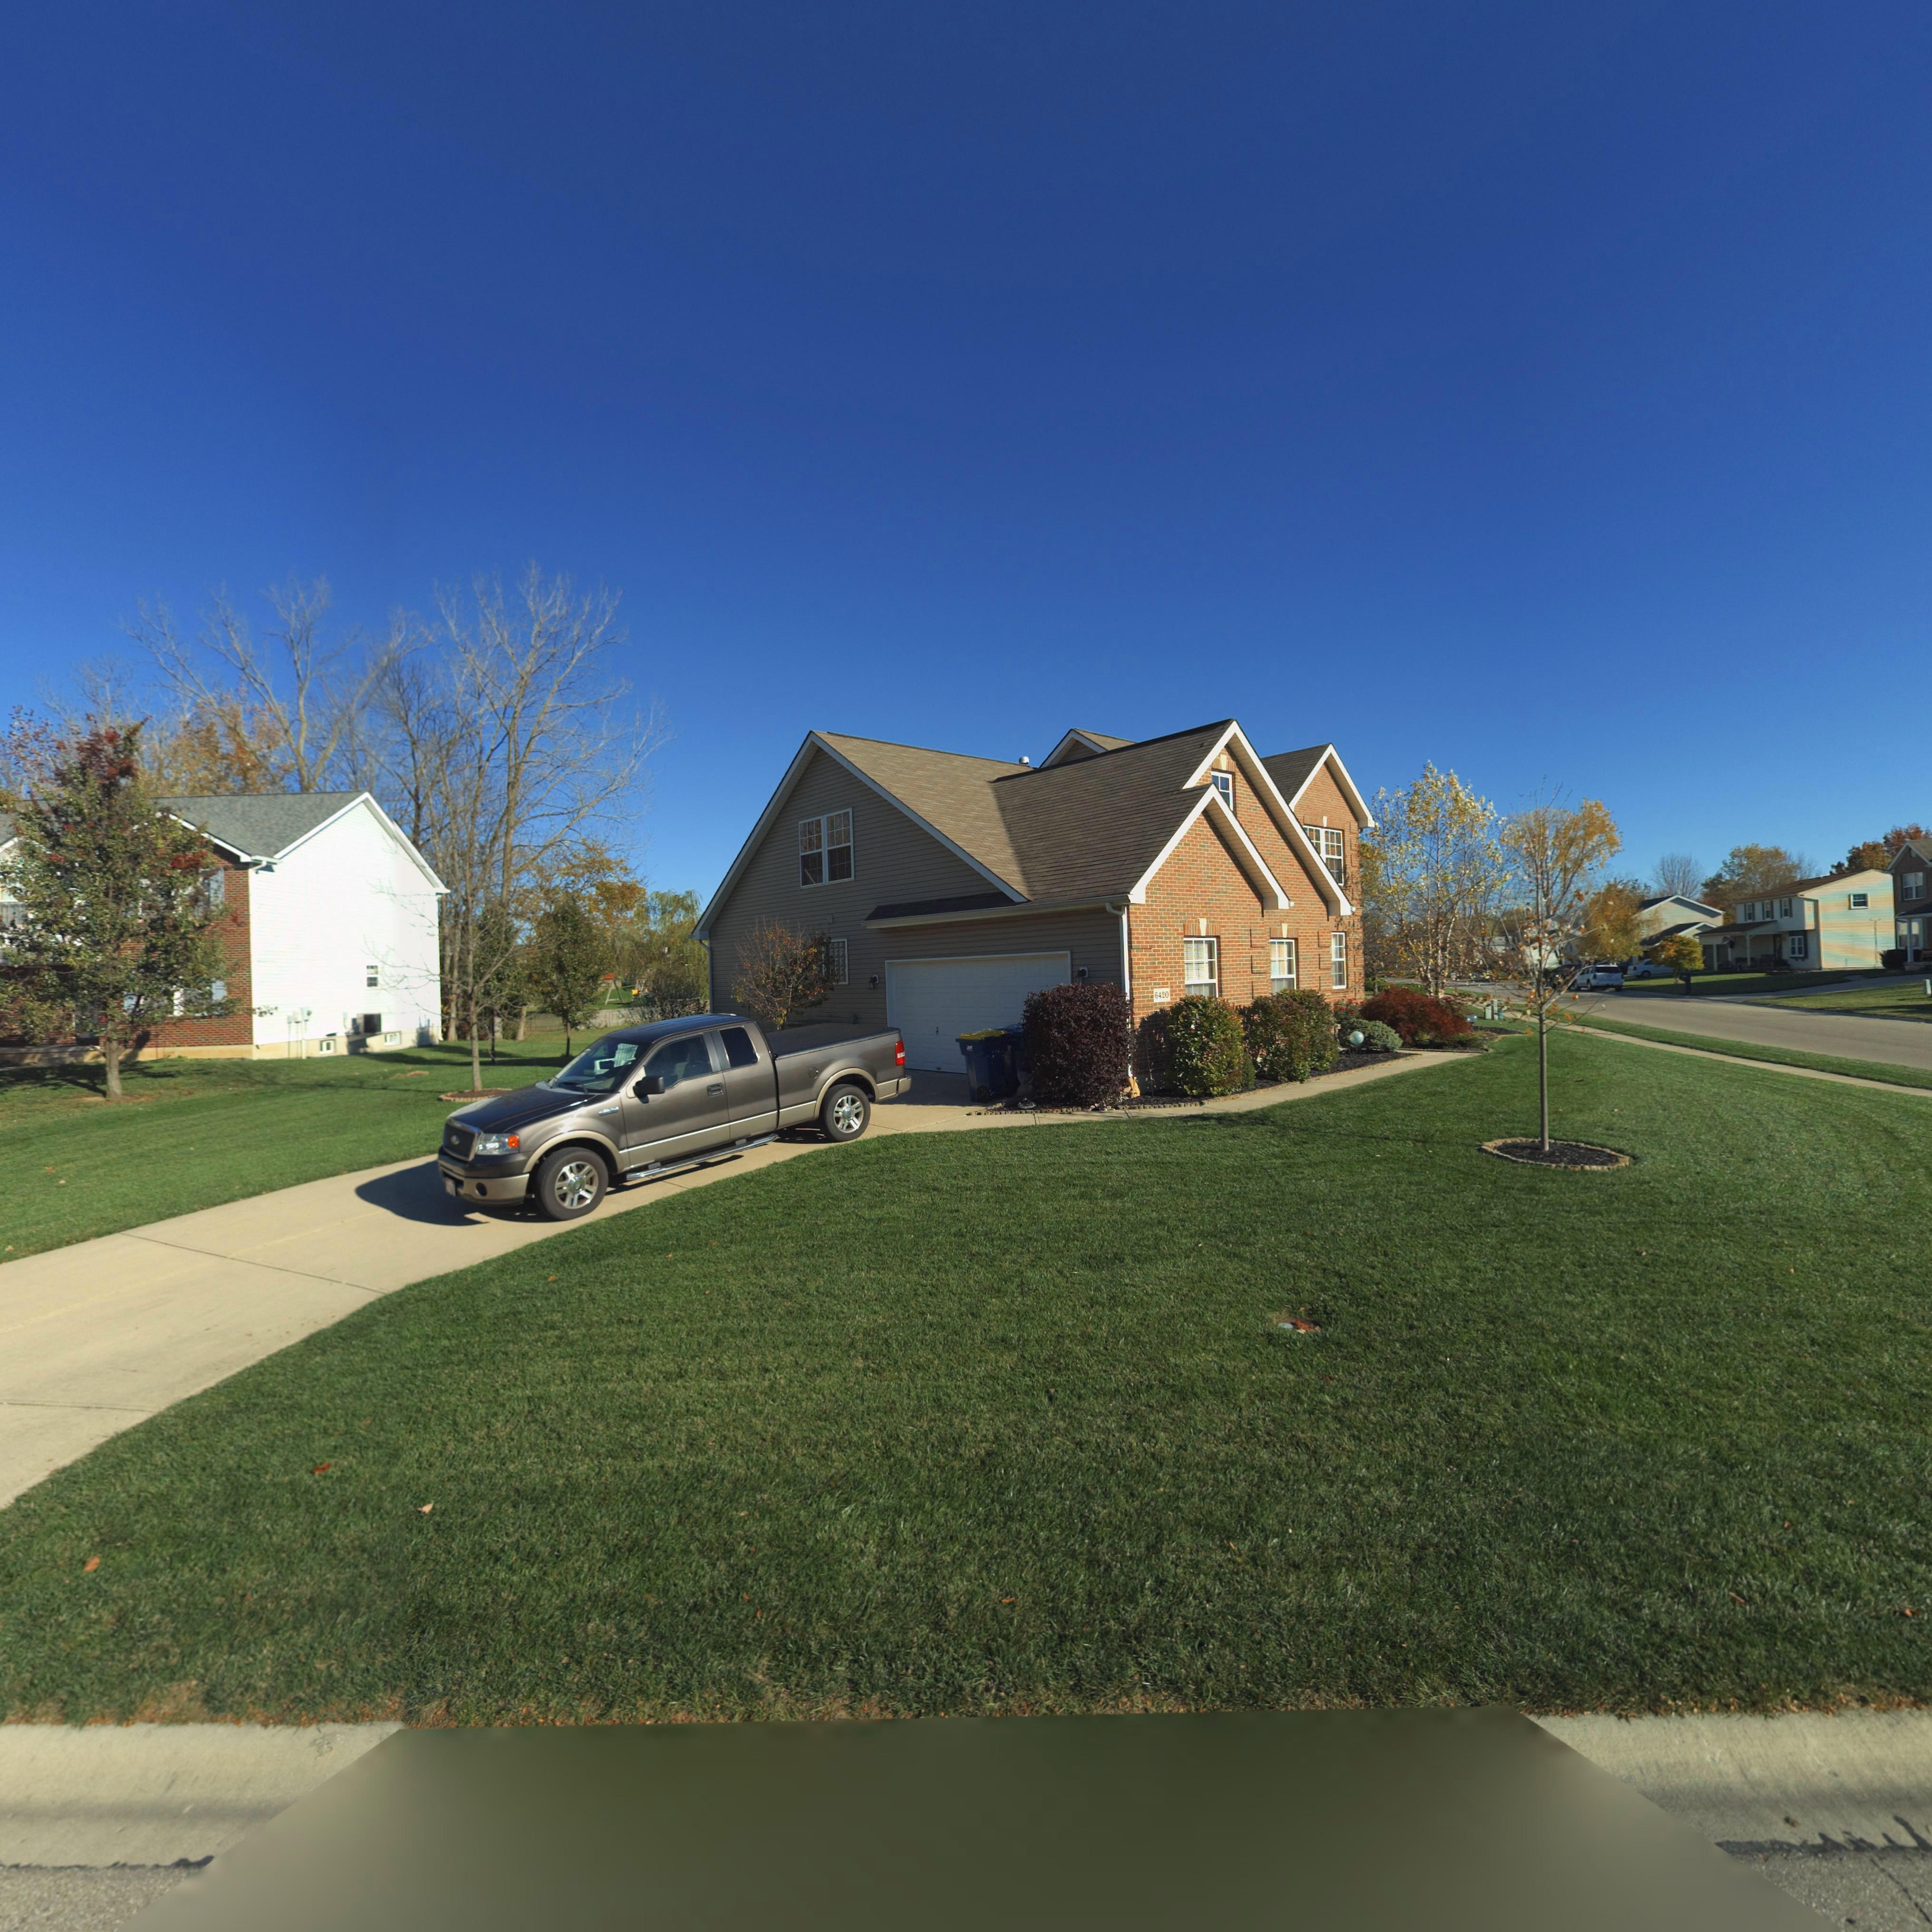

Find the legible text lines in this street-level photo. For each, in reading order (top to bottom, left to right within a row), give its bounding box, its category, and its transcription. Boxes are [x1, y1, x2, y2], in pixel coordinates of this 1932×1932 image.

[1154, 990, 1170, 1000] StreetNumber: 6420